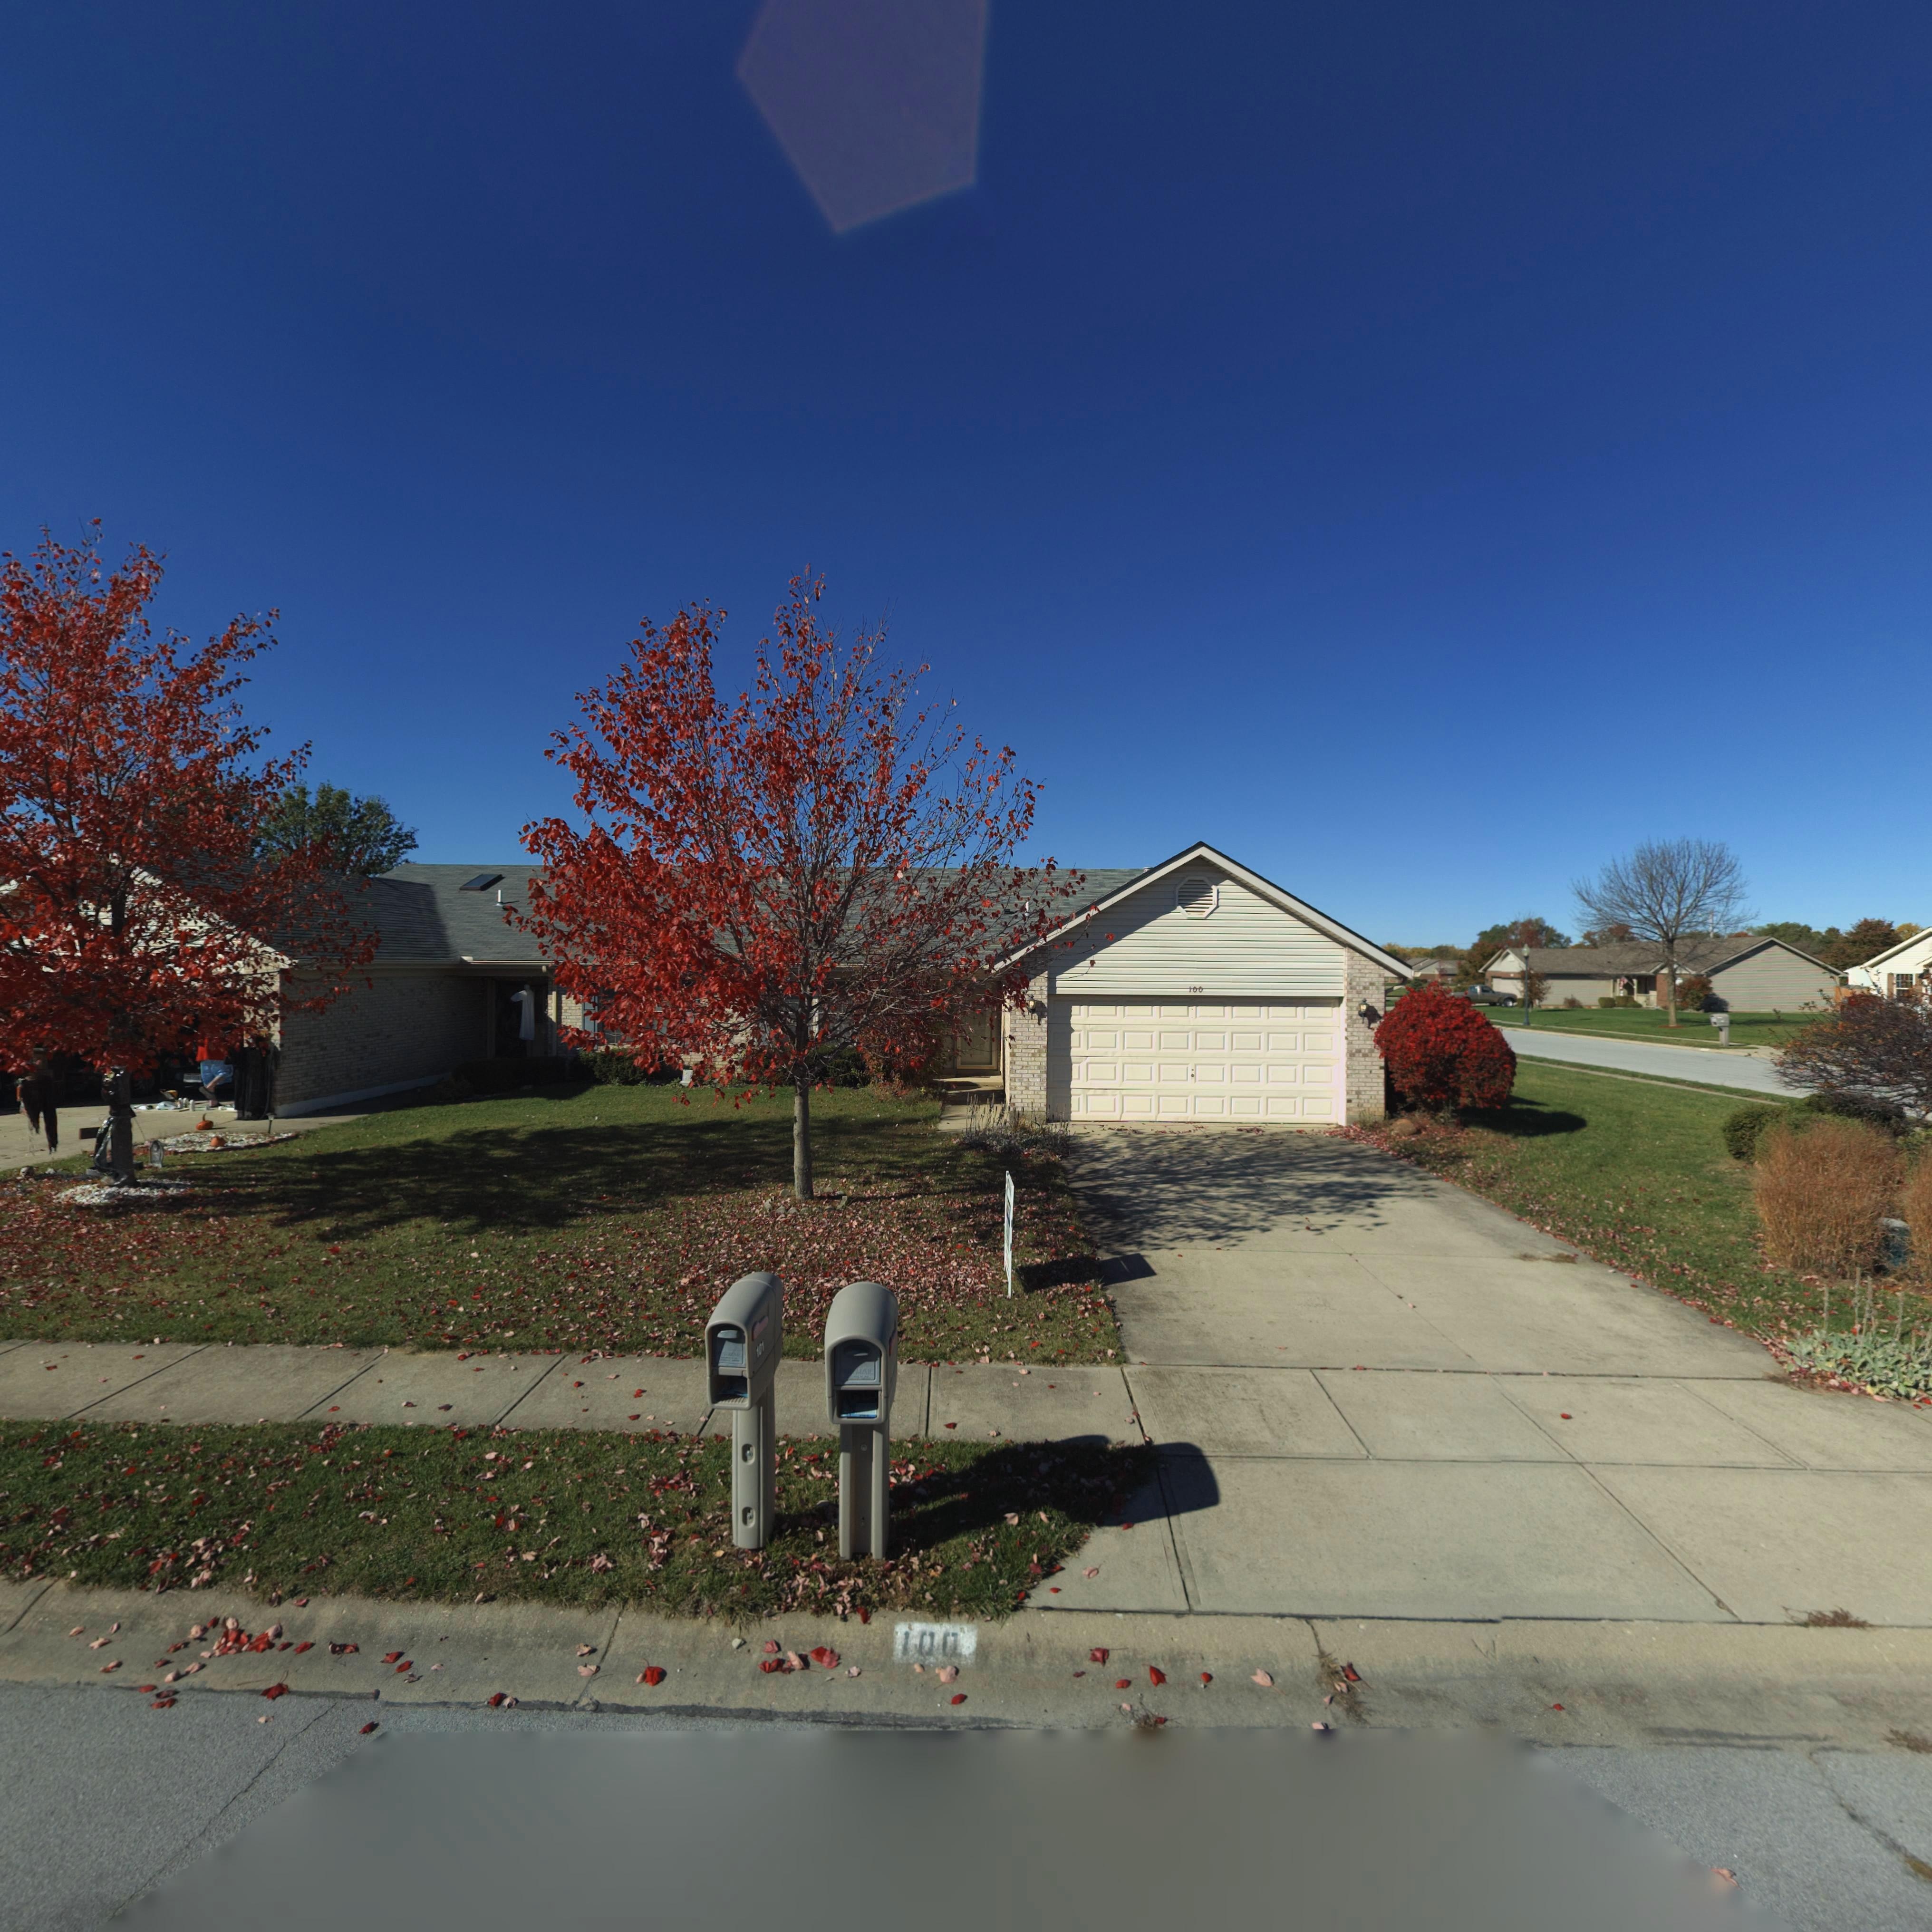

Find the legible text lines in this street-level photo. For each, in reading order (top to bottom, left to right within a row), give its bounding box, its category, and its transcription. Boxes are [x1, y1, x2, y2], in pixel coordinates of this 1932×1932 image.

[1188, 985, 1204, 993] StreetNumber: 100
[755, 1339, 764, 1360] StreetNumber: 101
[900, 1630, 960, 1660] StreetNumber: 100